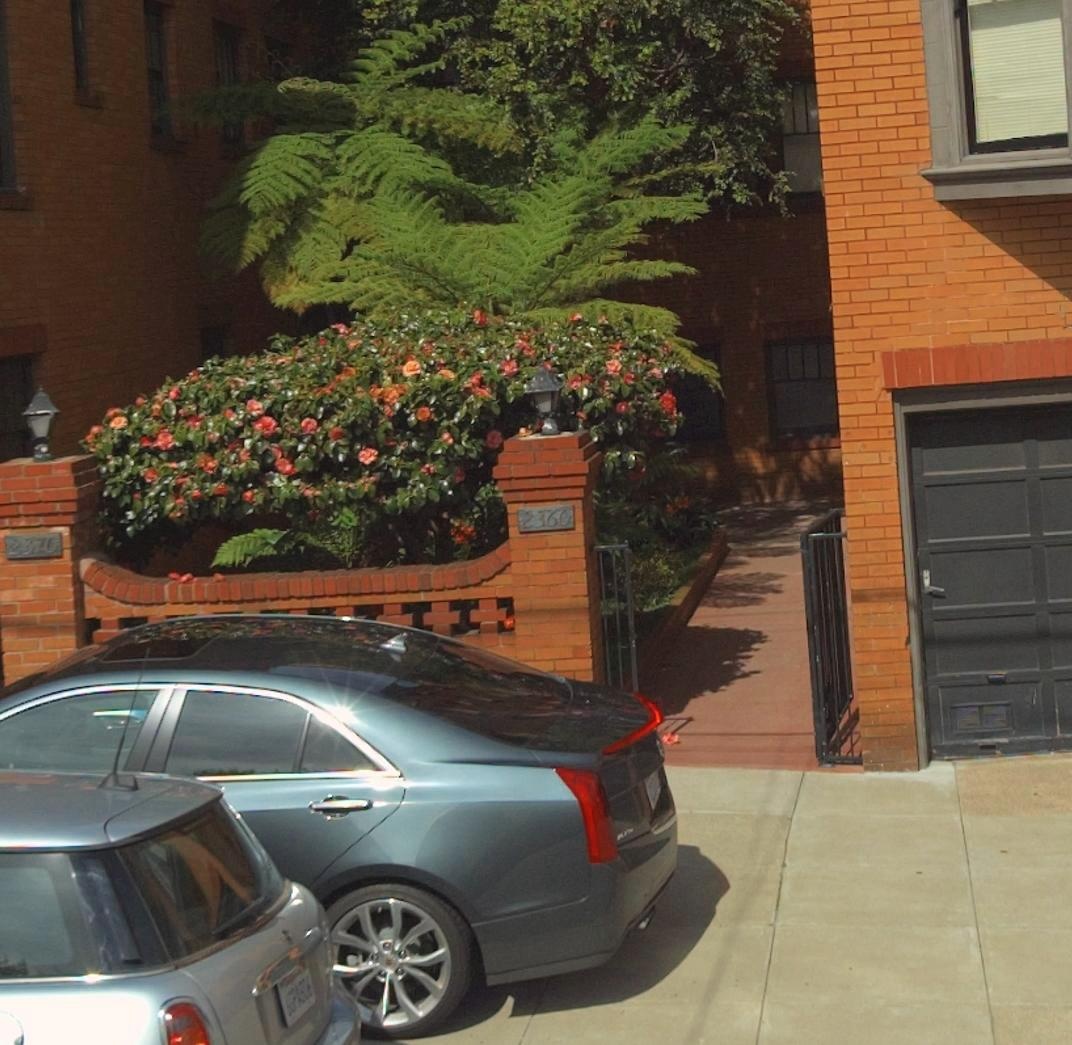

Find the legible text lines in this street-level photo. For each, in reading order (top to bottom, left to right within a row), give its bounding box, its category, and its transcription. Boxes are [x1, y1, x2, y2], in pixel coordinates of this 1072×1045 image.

[519, 506, 572, 531] StreetNumber: 2360
[5, 533, 60, 559] StreetNumber: 2370